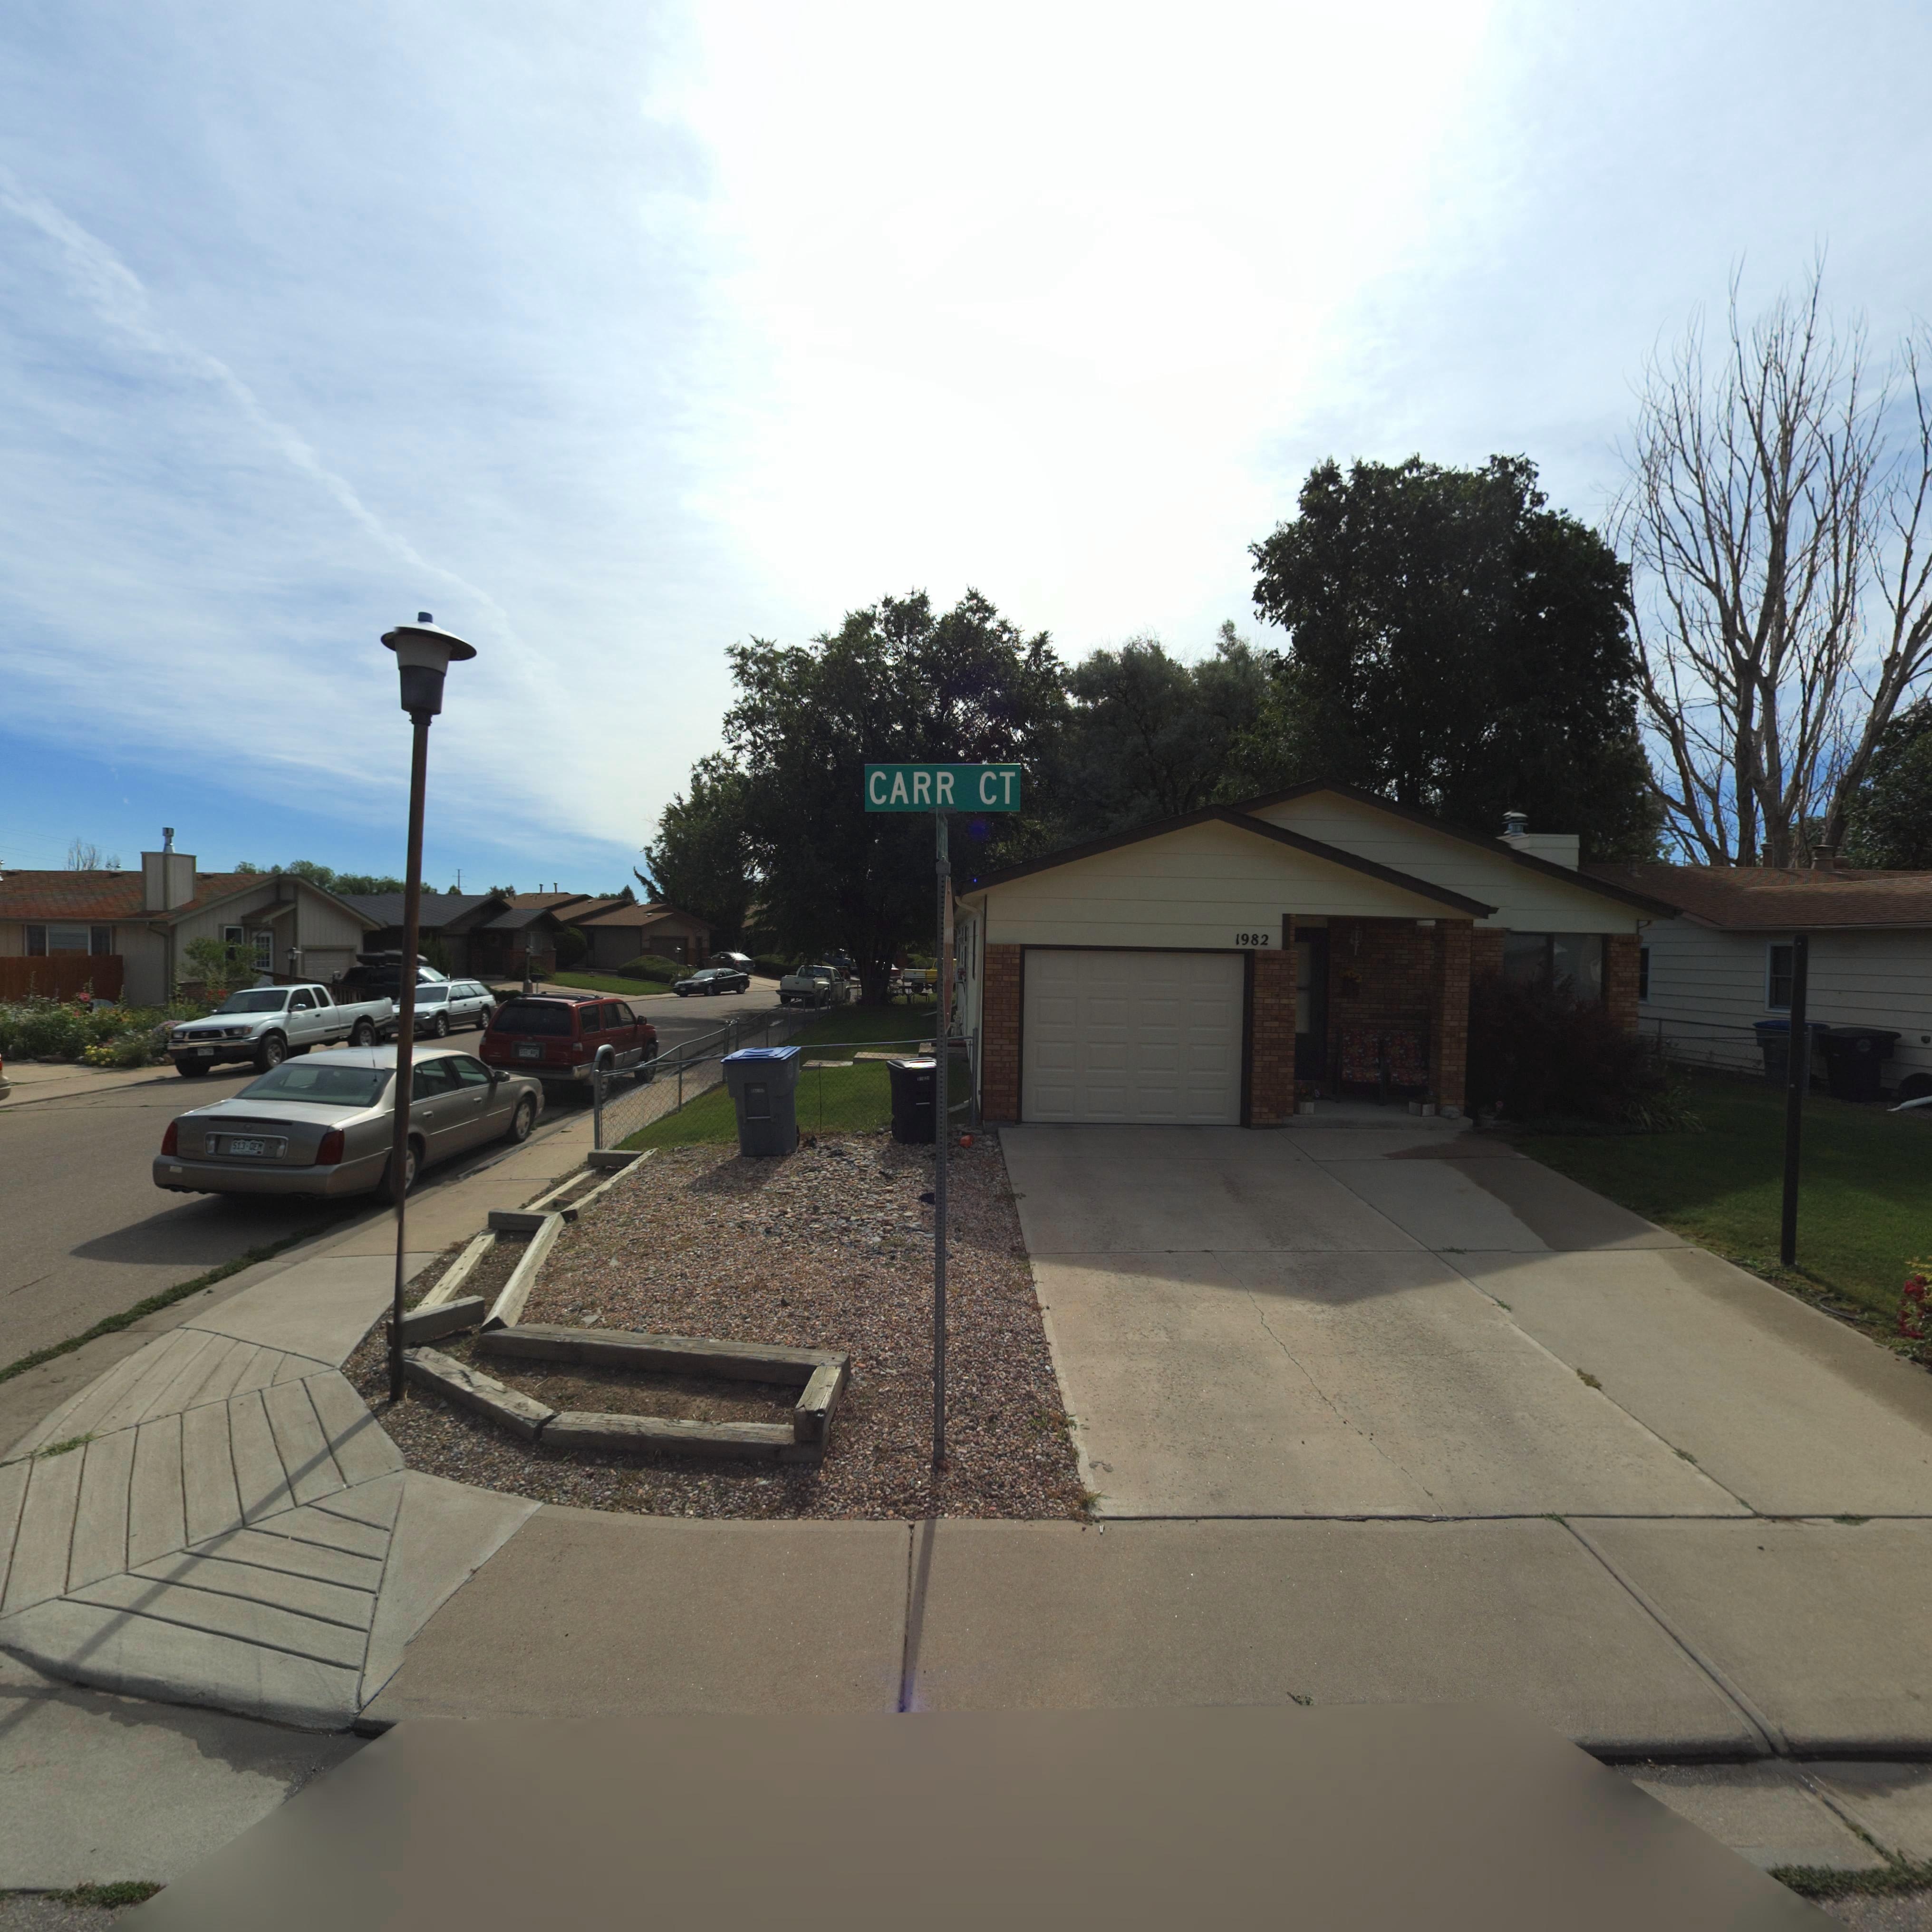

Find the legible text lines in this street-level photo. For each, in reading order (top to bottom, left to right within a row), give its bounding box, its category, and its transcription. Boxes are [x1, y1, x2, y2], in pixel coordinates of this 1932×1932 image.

[868, 769, 1017, 805] StreetName: CARR CT
[1236, 933, 1268, 946] StreetNumber: 1982